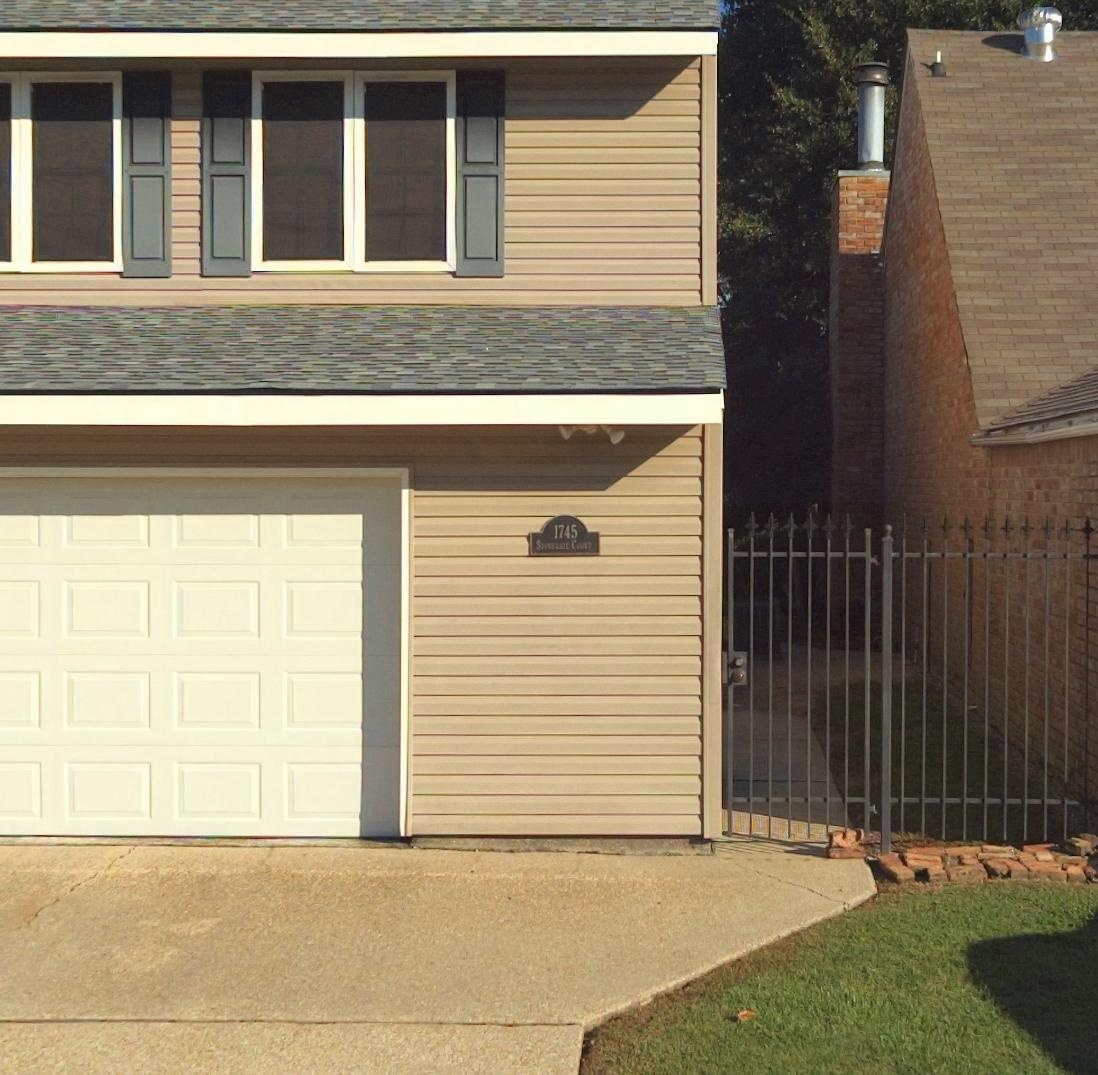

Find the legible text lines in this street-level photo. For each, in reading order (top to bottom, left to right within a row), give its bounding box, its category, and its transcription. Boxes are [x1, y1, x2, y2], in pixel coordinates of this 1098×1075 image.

[553, 522, 579, 540] StreetNumber: 1745
[534, 537, 543, 551] StreetName: S
[569, 538, 579, 551] StreetName: C